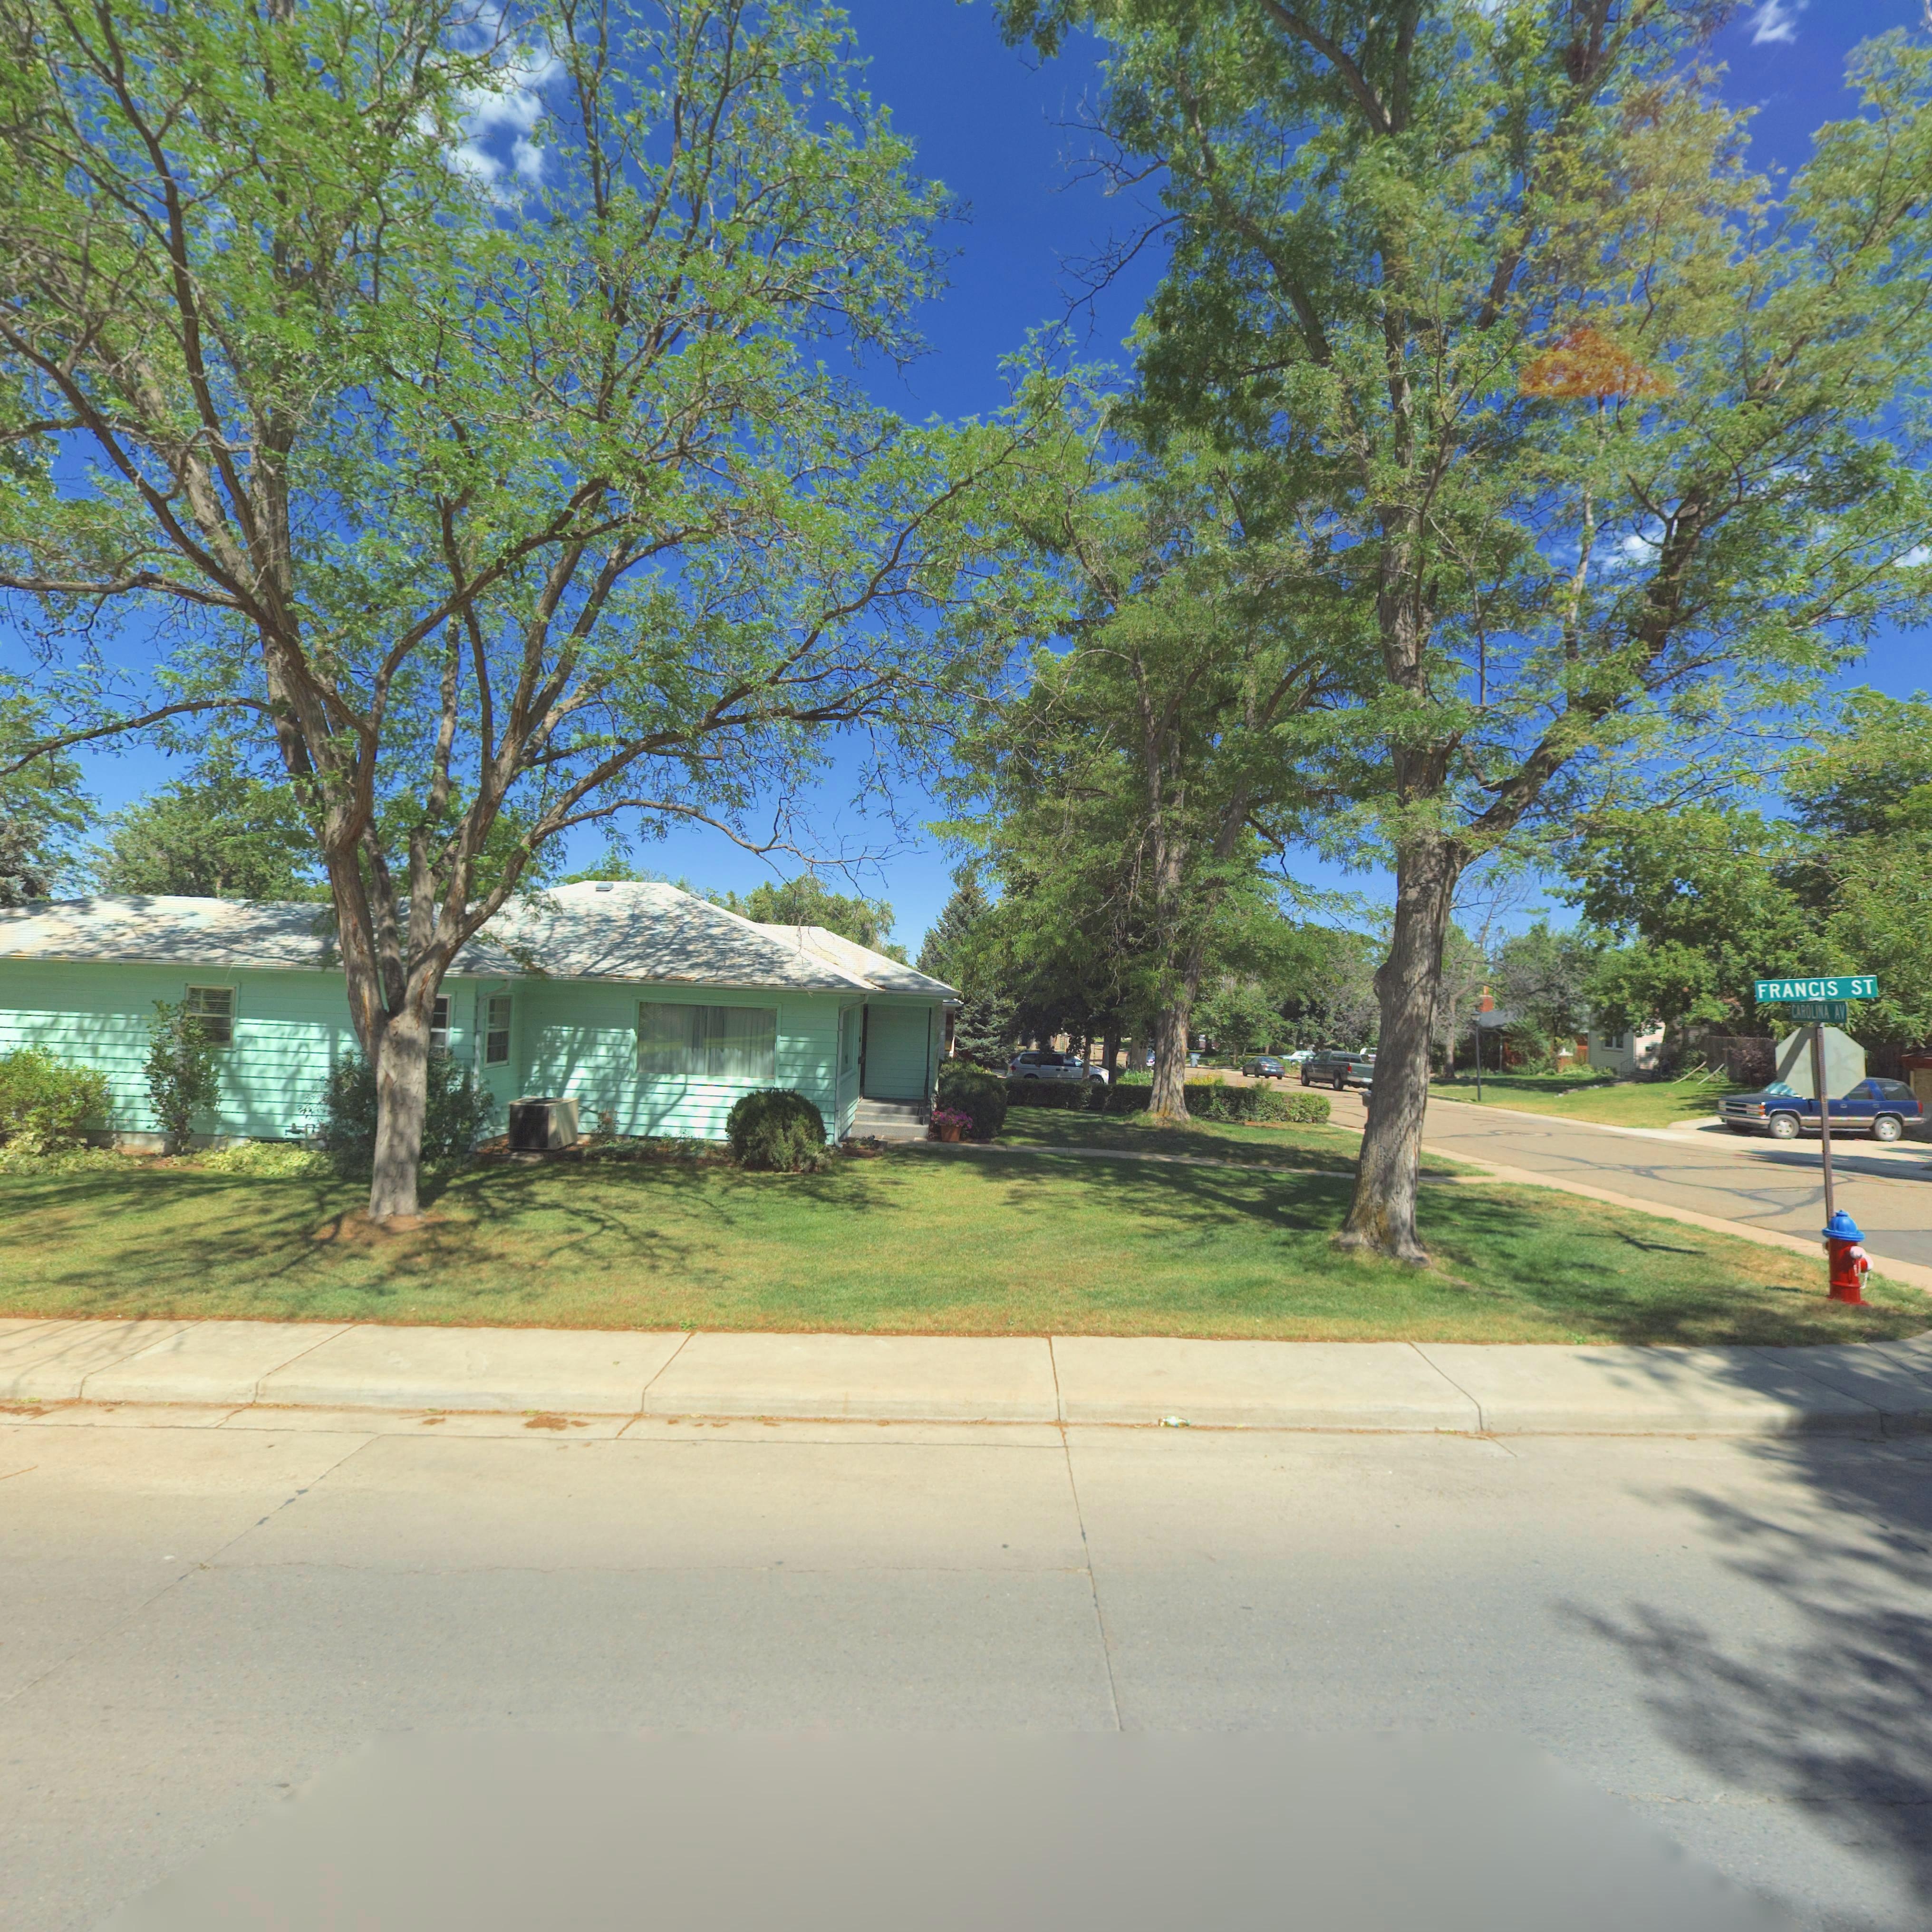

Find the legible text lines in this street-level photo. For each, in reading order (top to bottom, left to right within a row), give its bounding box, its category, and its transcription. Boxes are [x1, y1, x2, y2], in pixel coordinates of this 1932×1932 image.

[1757, 978, 1874, 998] StreetName: FRANCIS ST
[1791, 1004, 1845, 1020] StreetName: CAROLINA AV